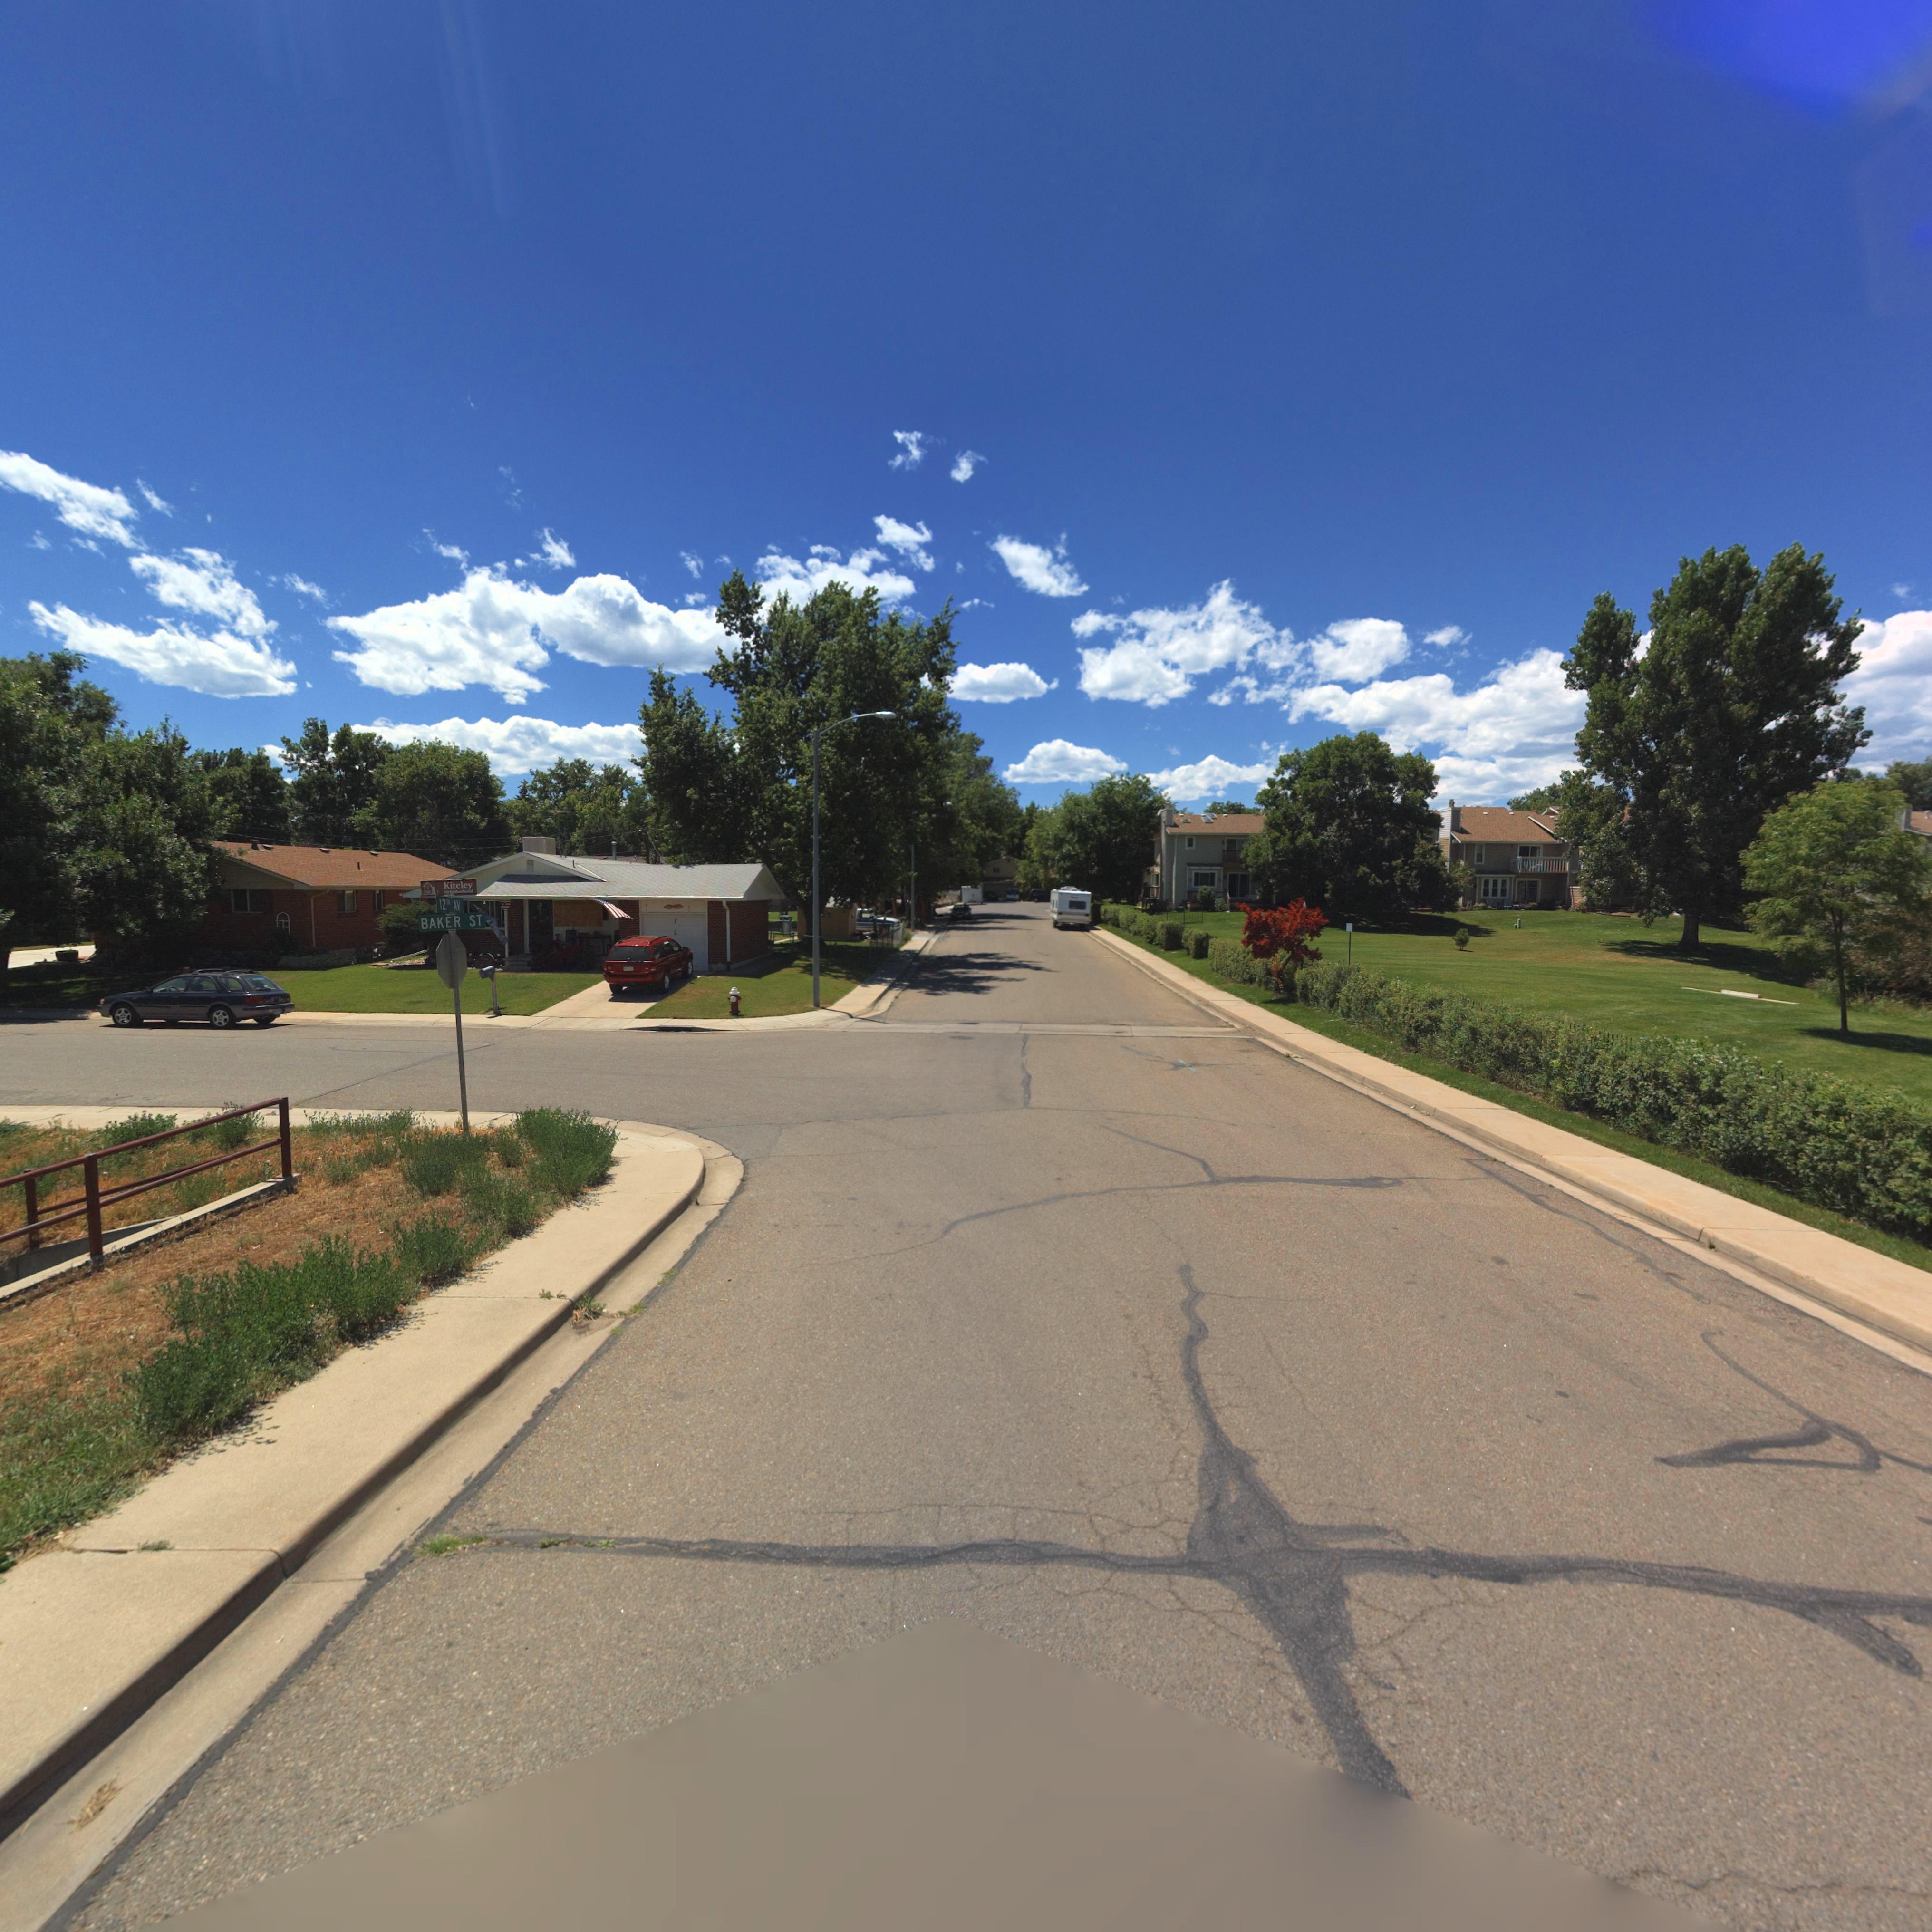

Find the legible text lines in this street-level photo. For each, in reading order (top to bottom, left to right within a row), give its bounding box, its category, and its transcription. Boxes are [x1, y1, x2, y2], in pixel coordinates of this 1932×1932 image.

[438, 898, 460, 912] StreetName: 12TH AV
[420, 914, 483, 929] StreetName: BAKER ST